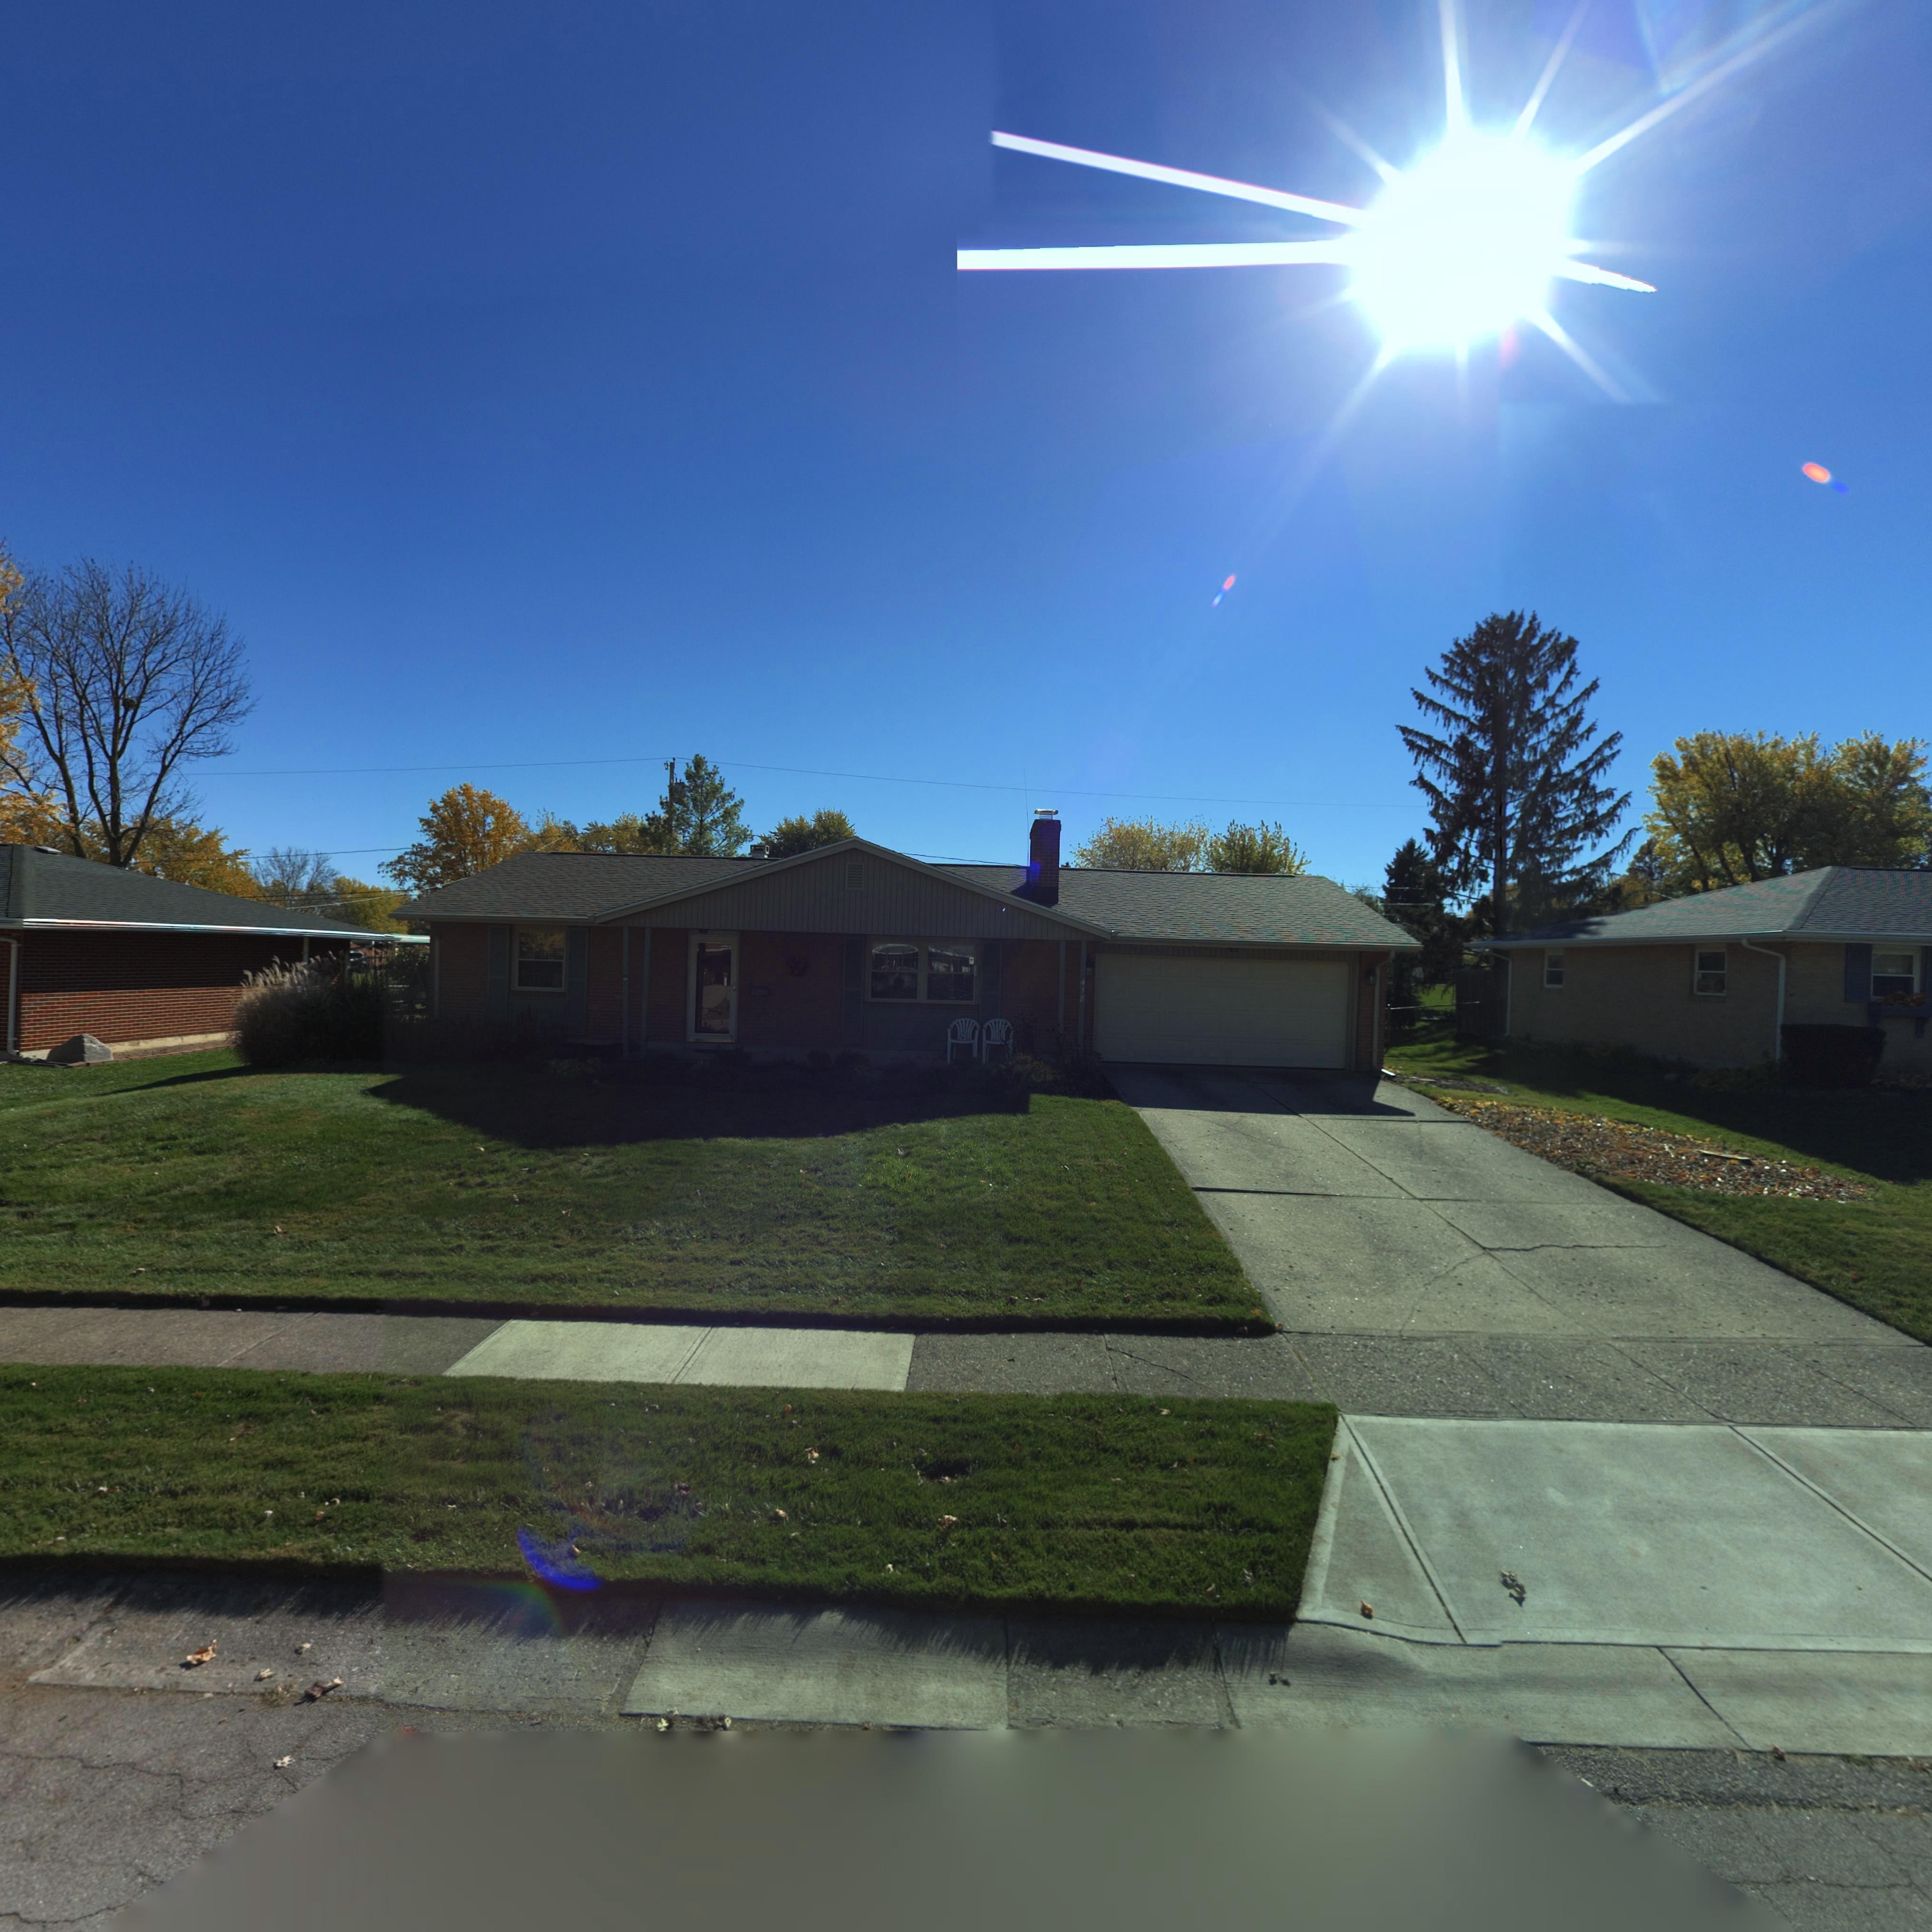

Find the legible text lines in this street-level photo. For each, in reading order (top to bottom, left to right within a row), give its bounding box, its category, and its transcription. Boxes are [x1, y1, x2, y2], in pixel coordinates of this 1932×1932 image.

[1079, 976, 1087, 1004] StreetNumber: 418